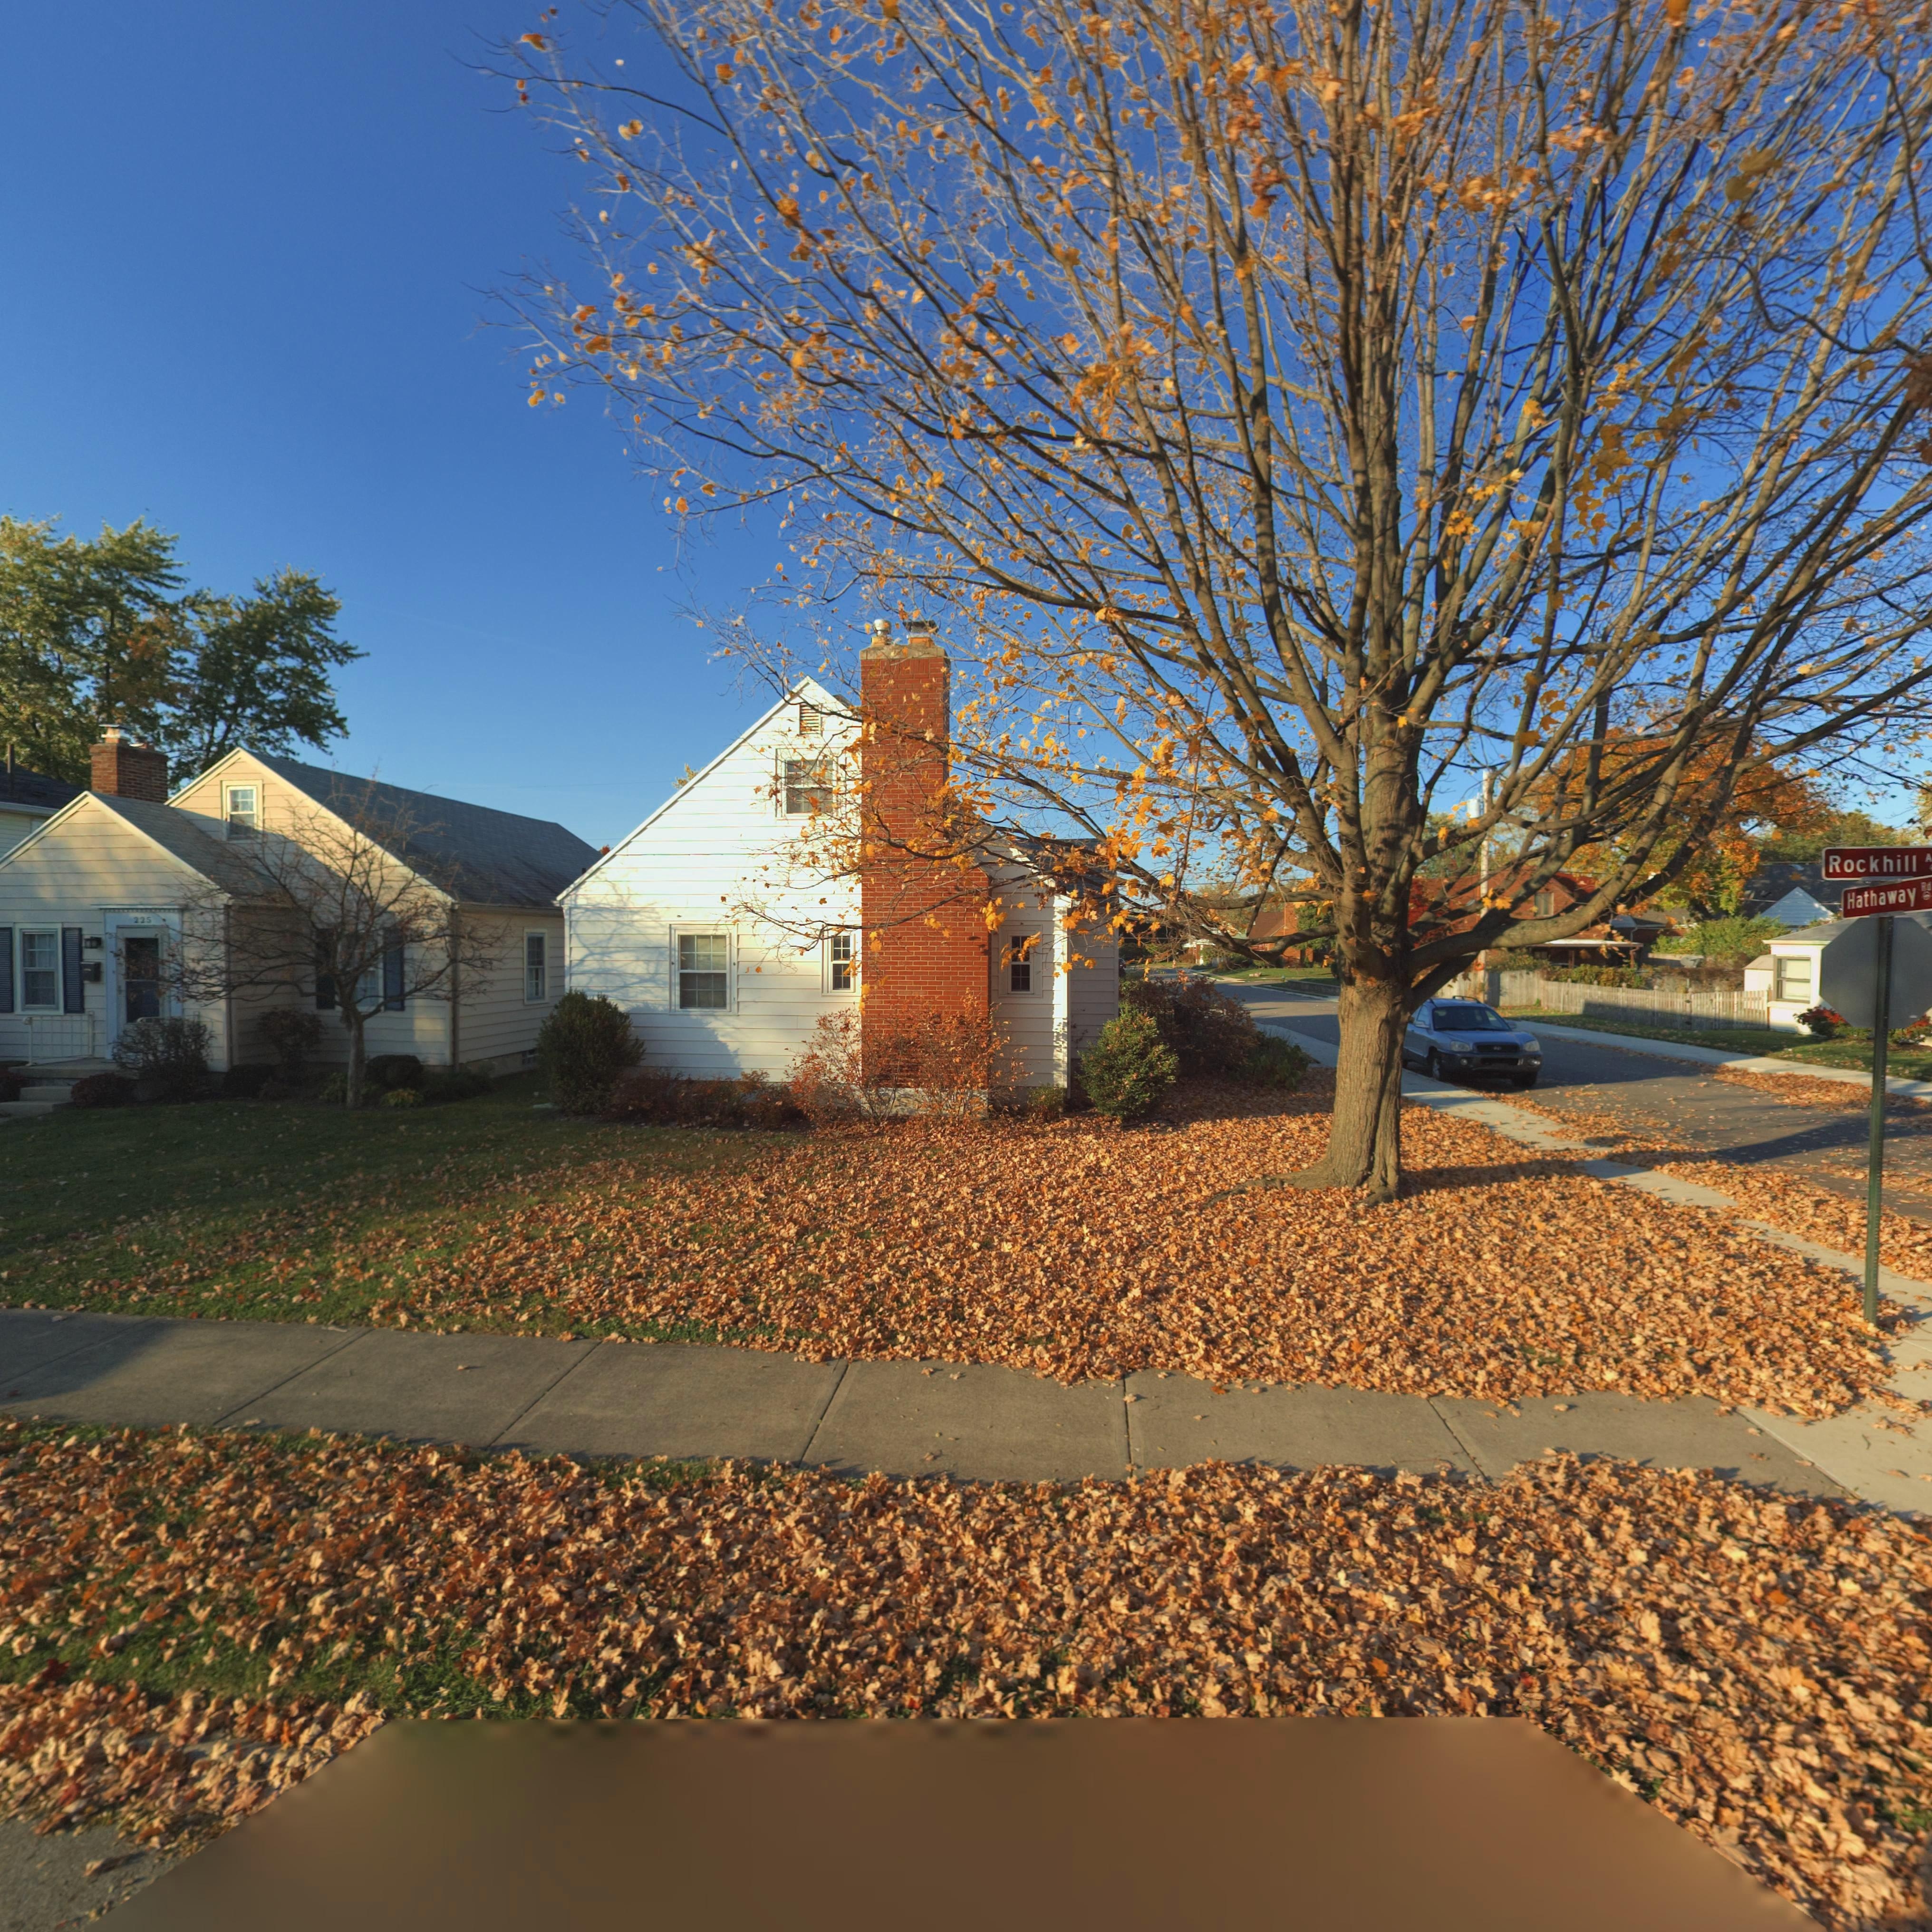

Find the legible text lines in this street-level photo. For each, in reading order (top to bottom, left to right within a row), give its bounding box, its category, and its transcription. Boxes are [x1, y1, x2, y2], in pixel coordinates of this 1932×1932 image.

[1827, 852, 1932, 874] StreetName: Rockhill A
[1846, 880, 1932, 910] StreetName: Hathaway Rd
[133, 917, 152, 924] StreetNumber: 225